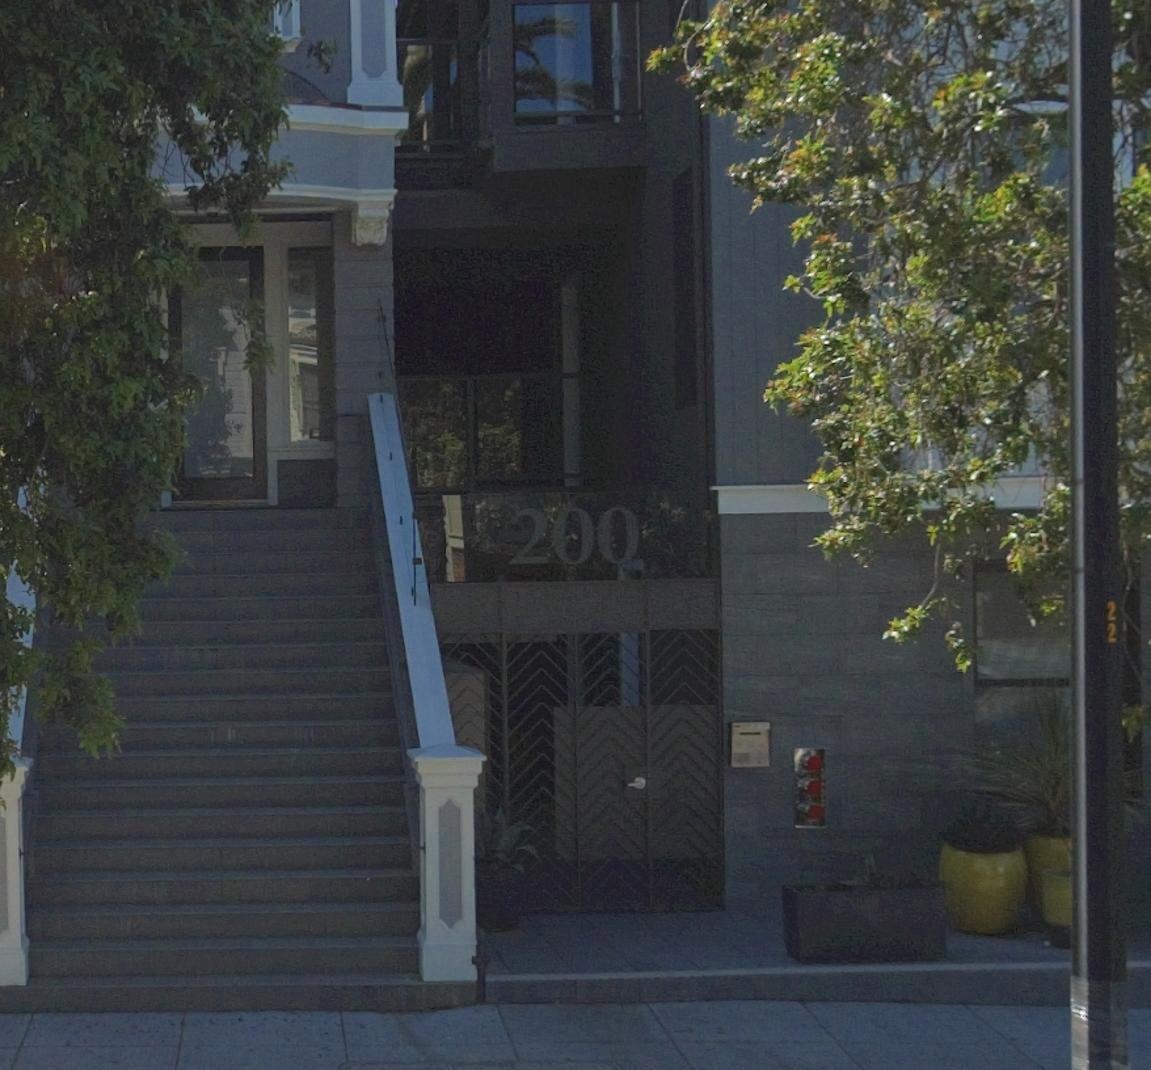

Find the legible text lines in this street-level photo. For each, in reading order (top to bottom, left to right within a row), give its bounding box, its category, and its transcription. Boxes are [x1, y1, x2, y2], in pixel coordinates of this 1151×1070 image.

[507, 506, 641, 566] StreetNumber: 200
[1106, 597, 1117, 646] None: 22